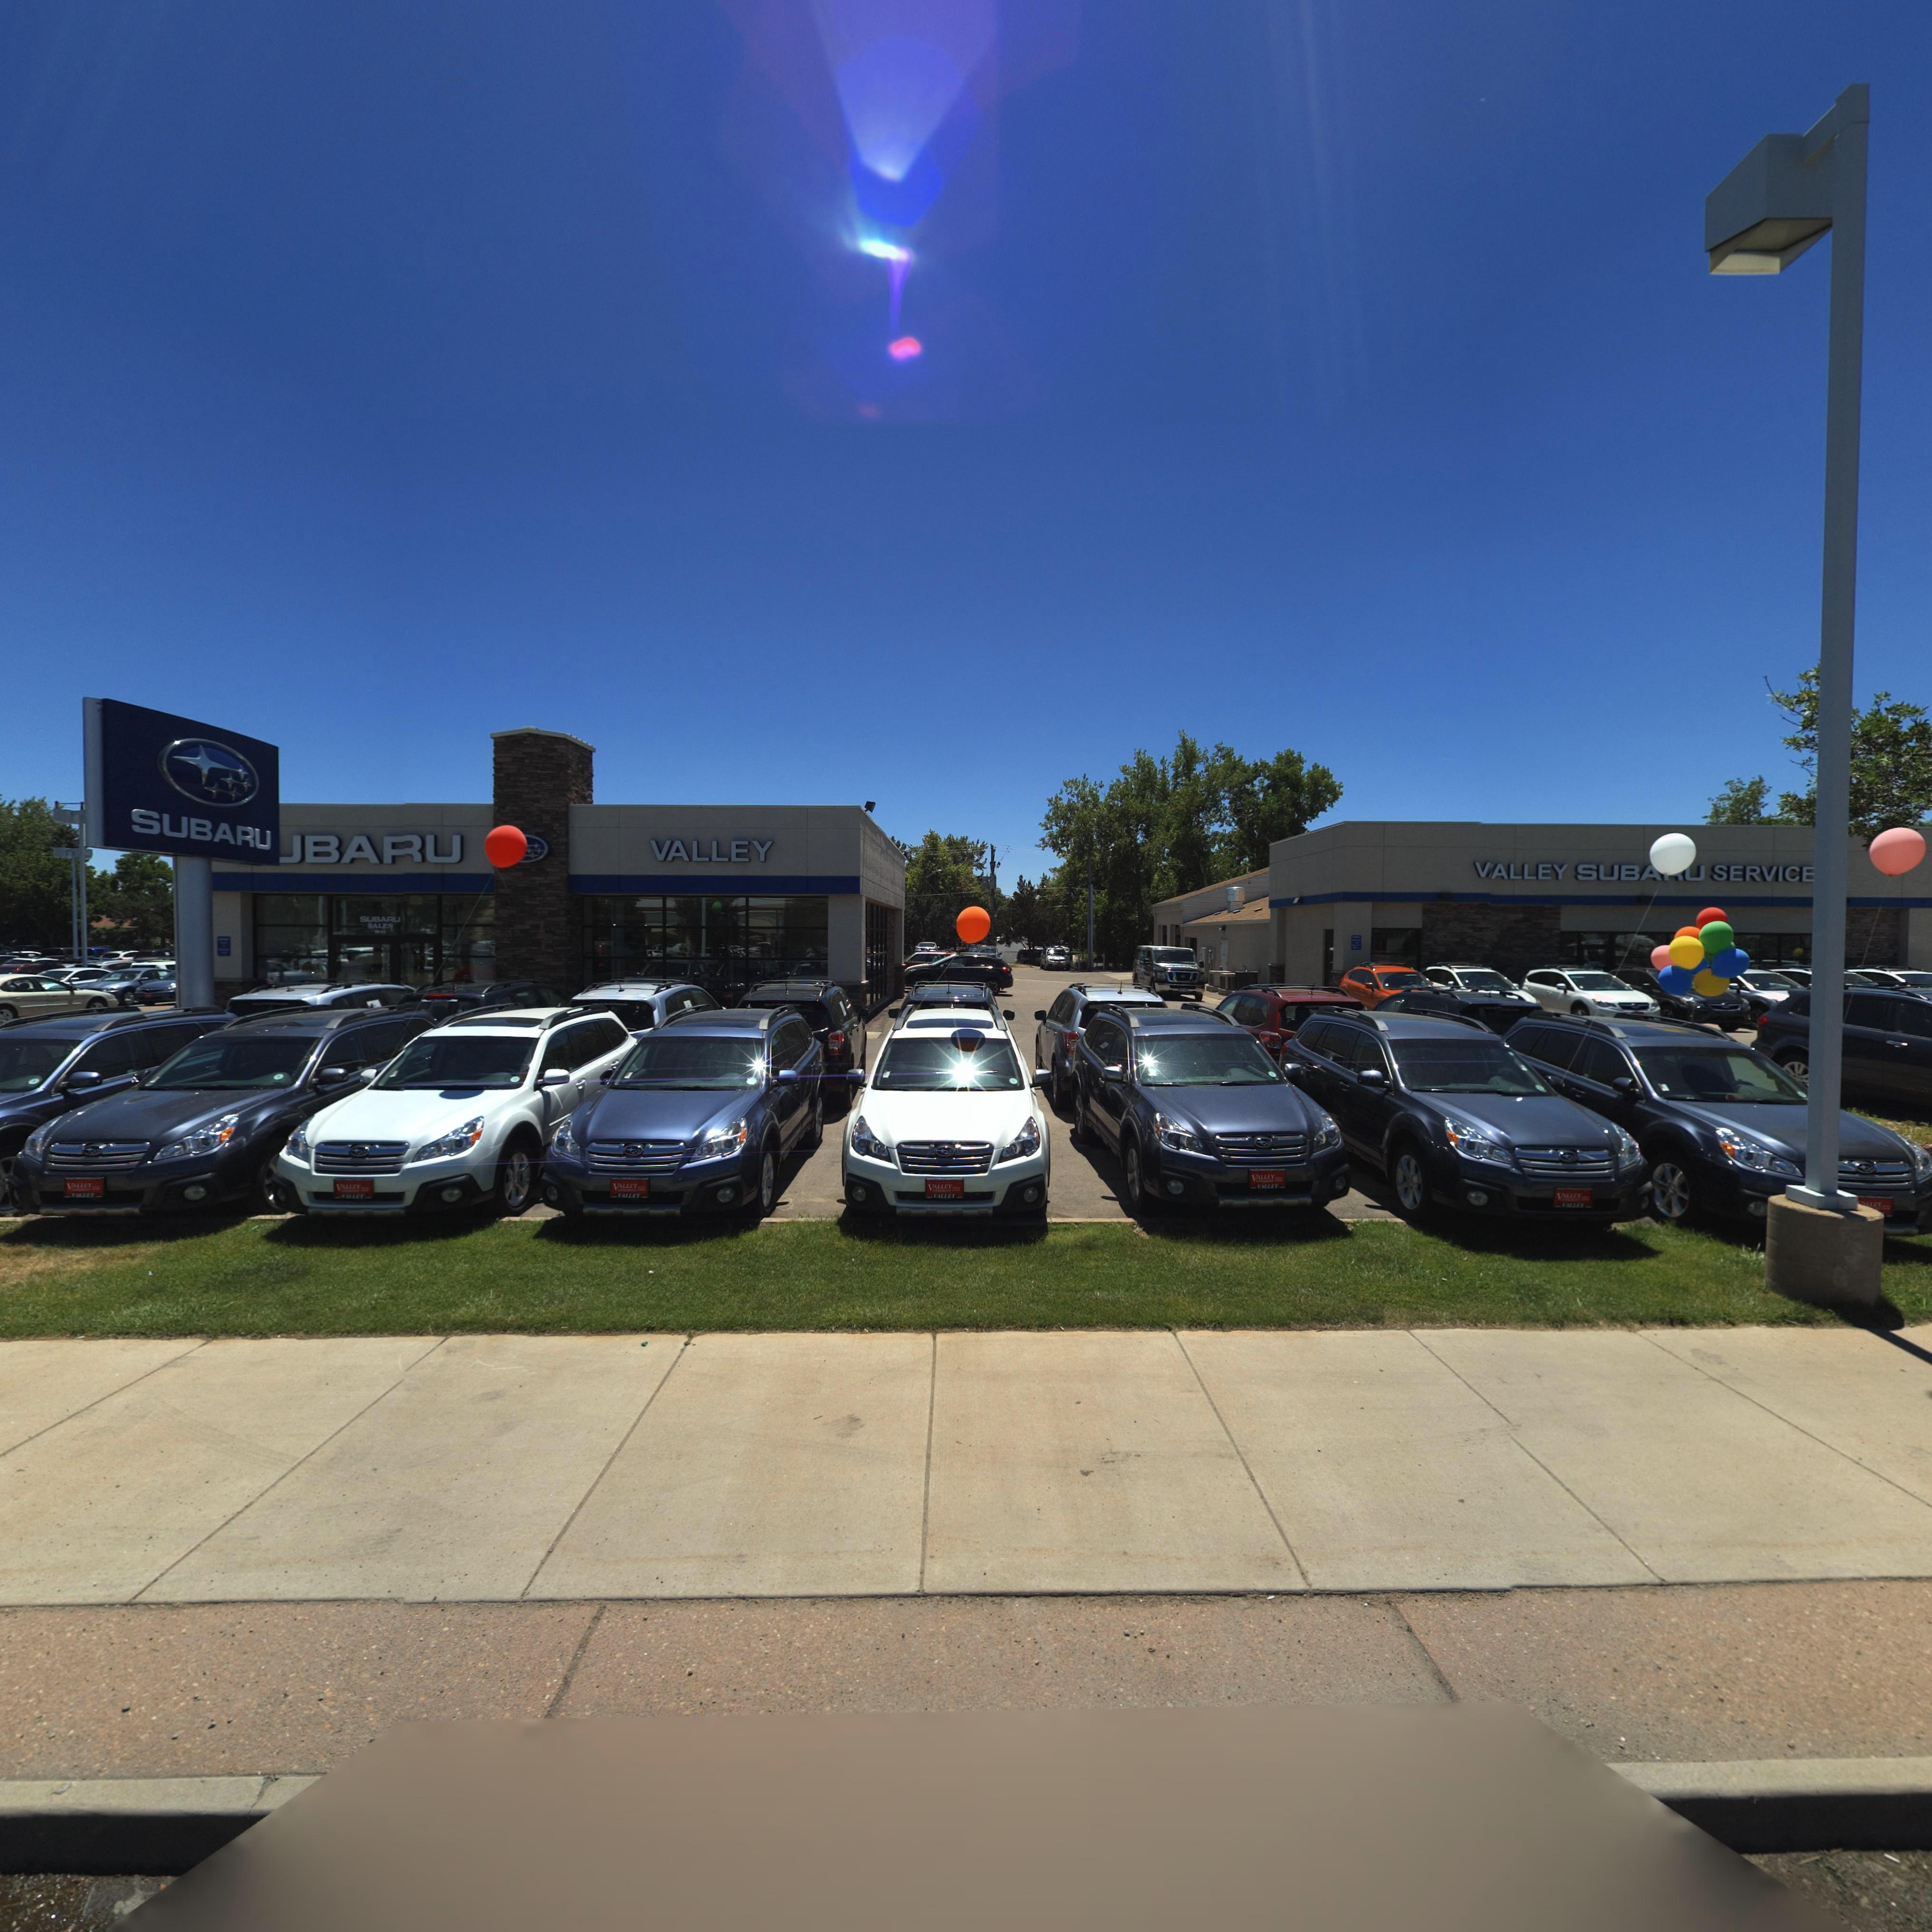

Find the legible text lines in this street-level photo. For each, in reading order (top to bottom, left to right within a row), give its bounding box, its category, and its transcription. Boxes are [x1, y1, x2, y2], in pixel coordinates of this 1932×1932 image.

[130, 808, 272, 850] BusinessName: SUBARU
[278, 833, 463, 864] BusinessName: *BARU
[648, 840, 776, 862] BusinessName: VALLEY
[1473, 861, 1816, 882] BusinessName: VALLEY SUBA*U SERVICE
[359, 916, 401, 923] BusinessName: SUBARU
[367, 923, 394, 929] BusinessName: SALES